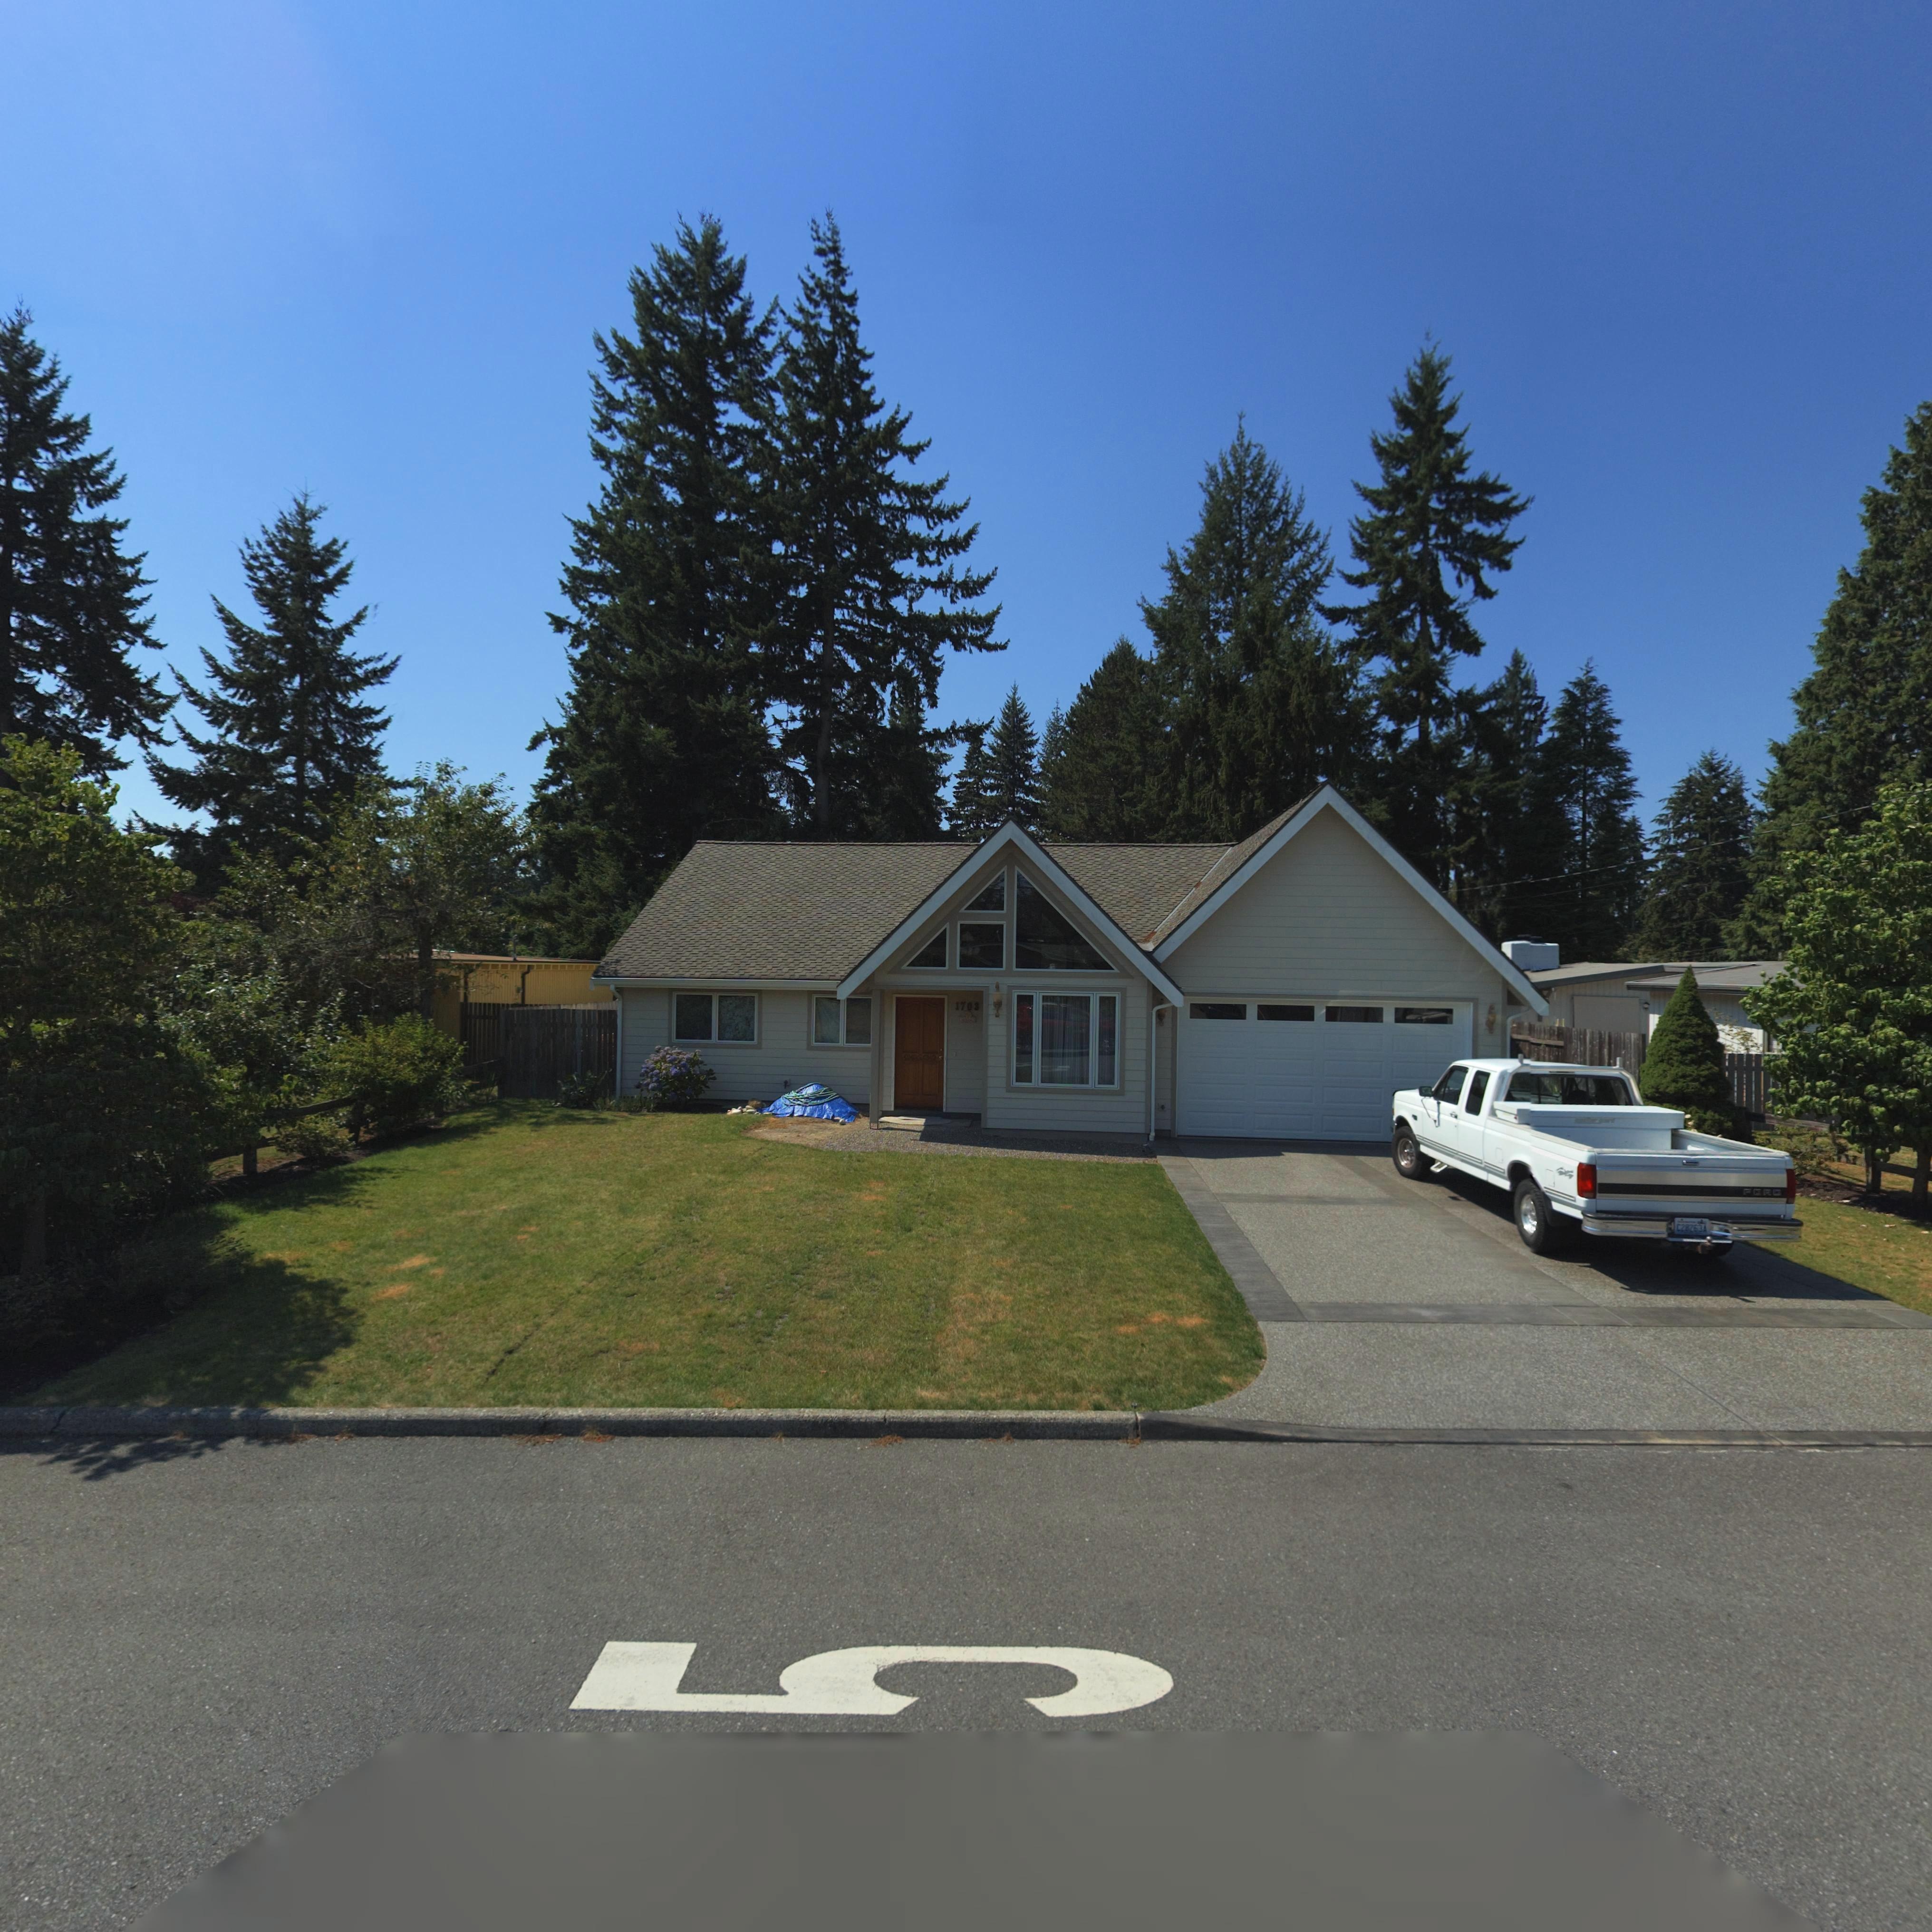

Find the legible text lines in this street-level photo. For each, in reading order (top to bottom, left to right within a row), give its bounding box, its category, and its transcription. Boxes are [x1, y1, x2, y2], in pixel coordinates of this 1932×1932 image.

[955, 999, 980, 1012] StreetNumber: 1703